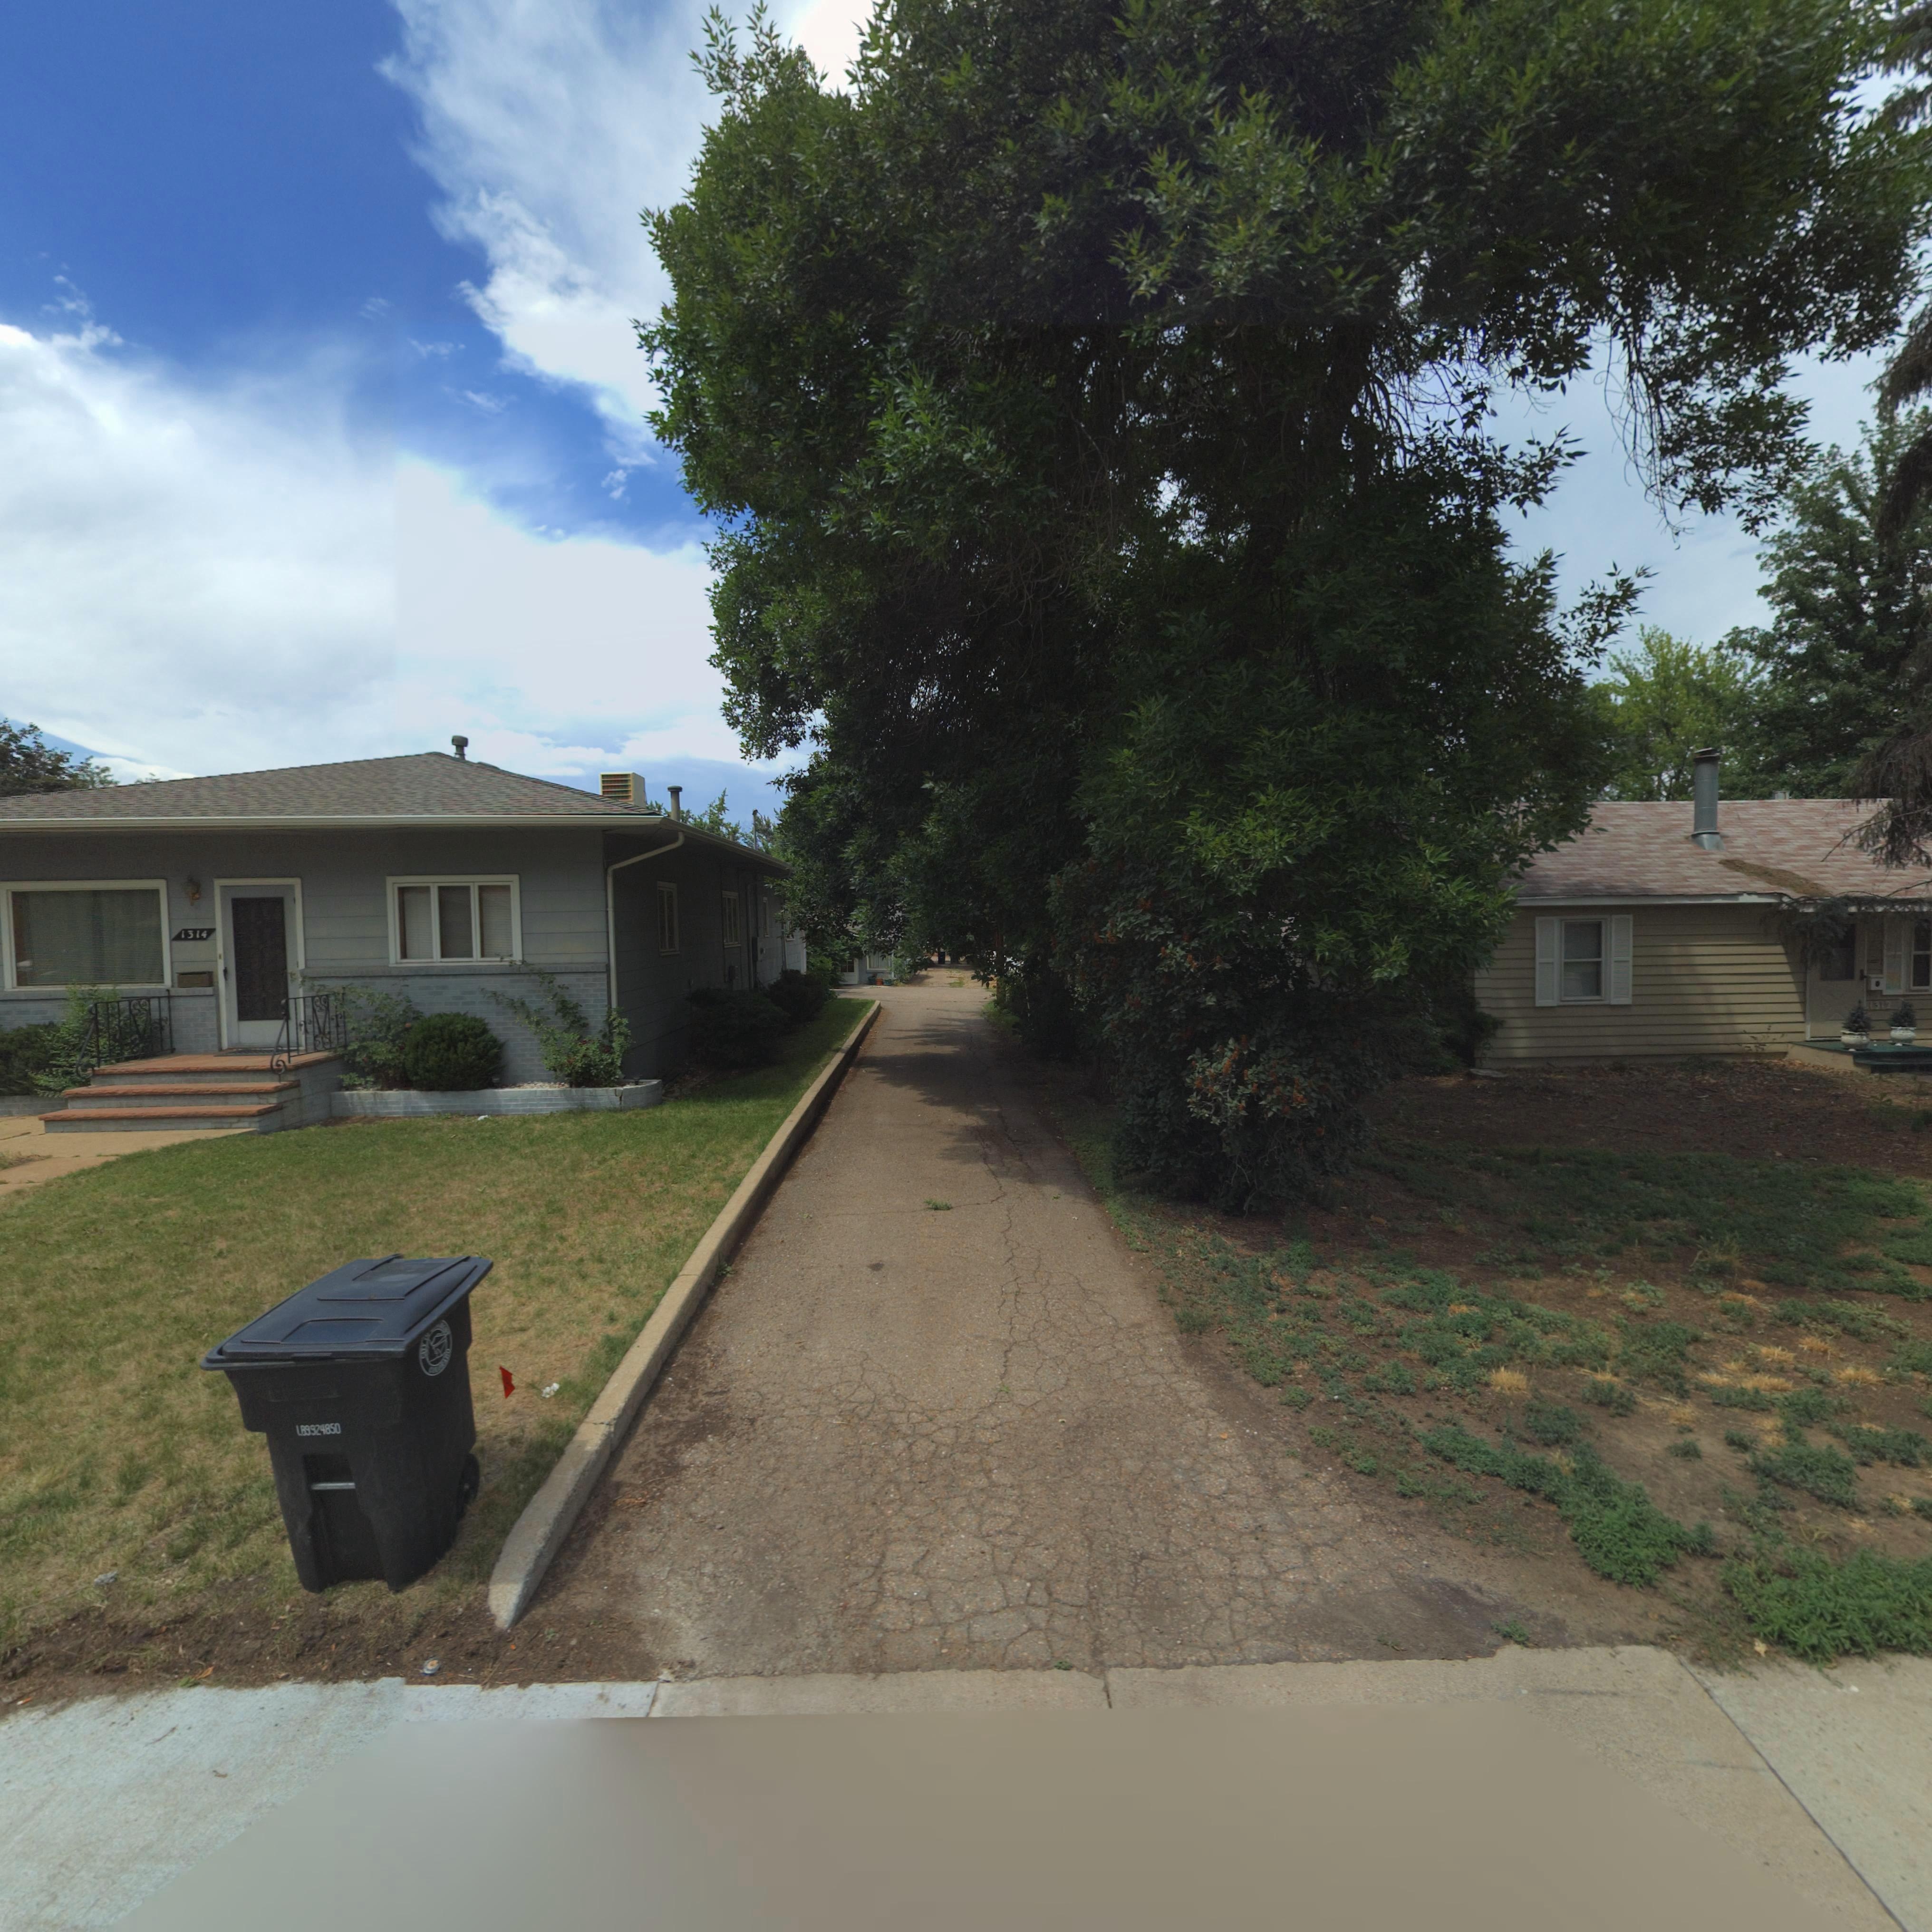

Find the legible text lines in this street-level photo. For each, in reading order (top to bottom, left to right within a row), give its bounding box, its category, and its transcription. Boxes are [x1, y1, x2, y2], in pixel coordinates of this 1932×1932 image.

[181, 929, 209, 939] StreetNumber: 1314
[1868, 1000, 1892, 1010] StreetNumber: 1312